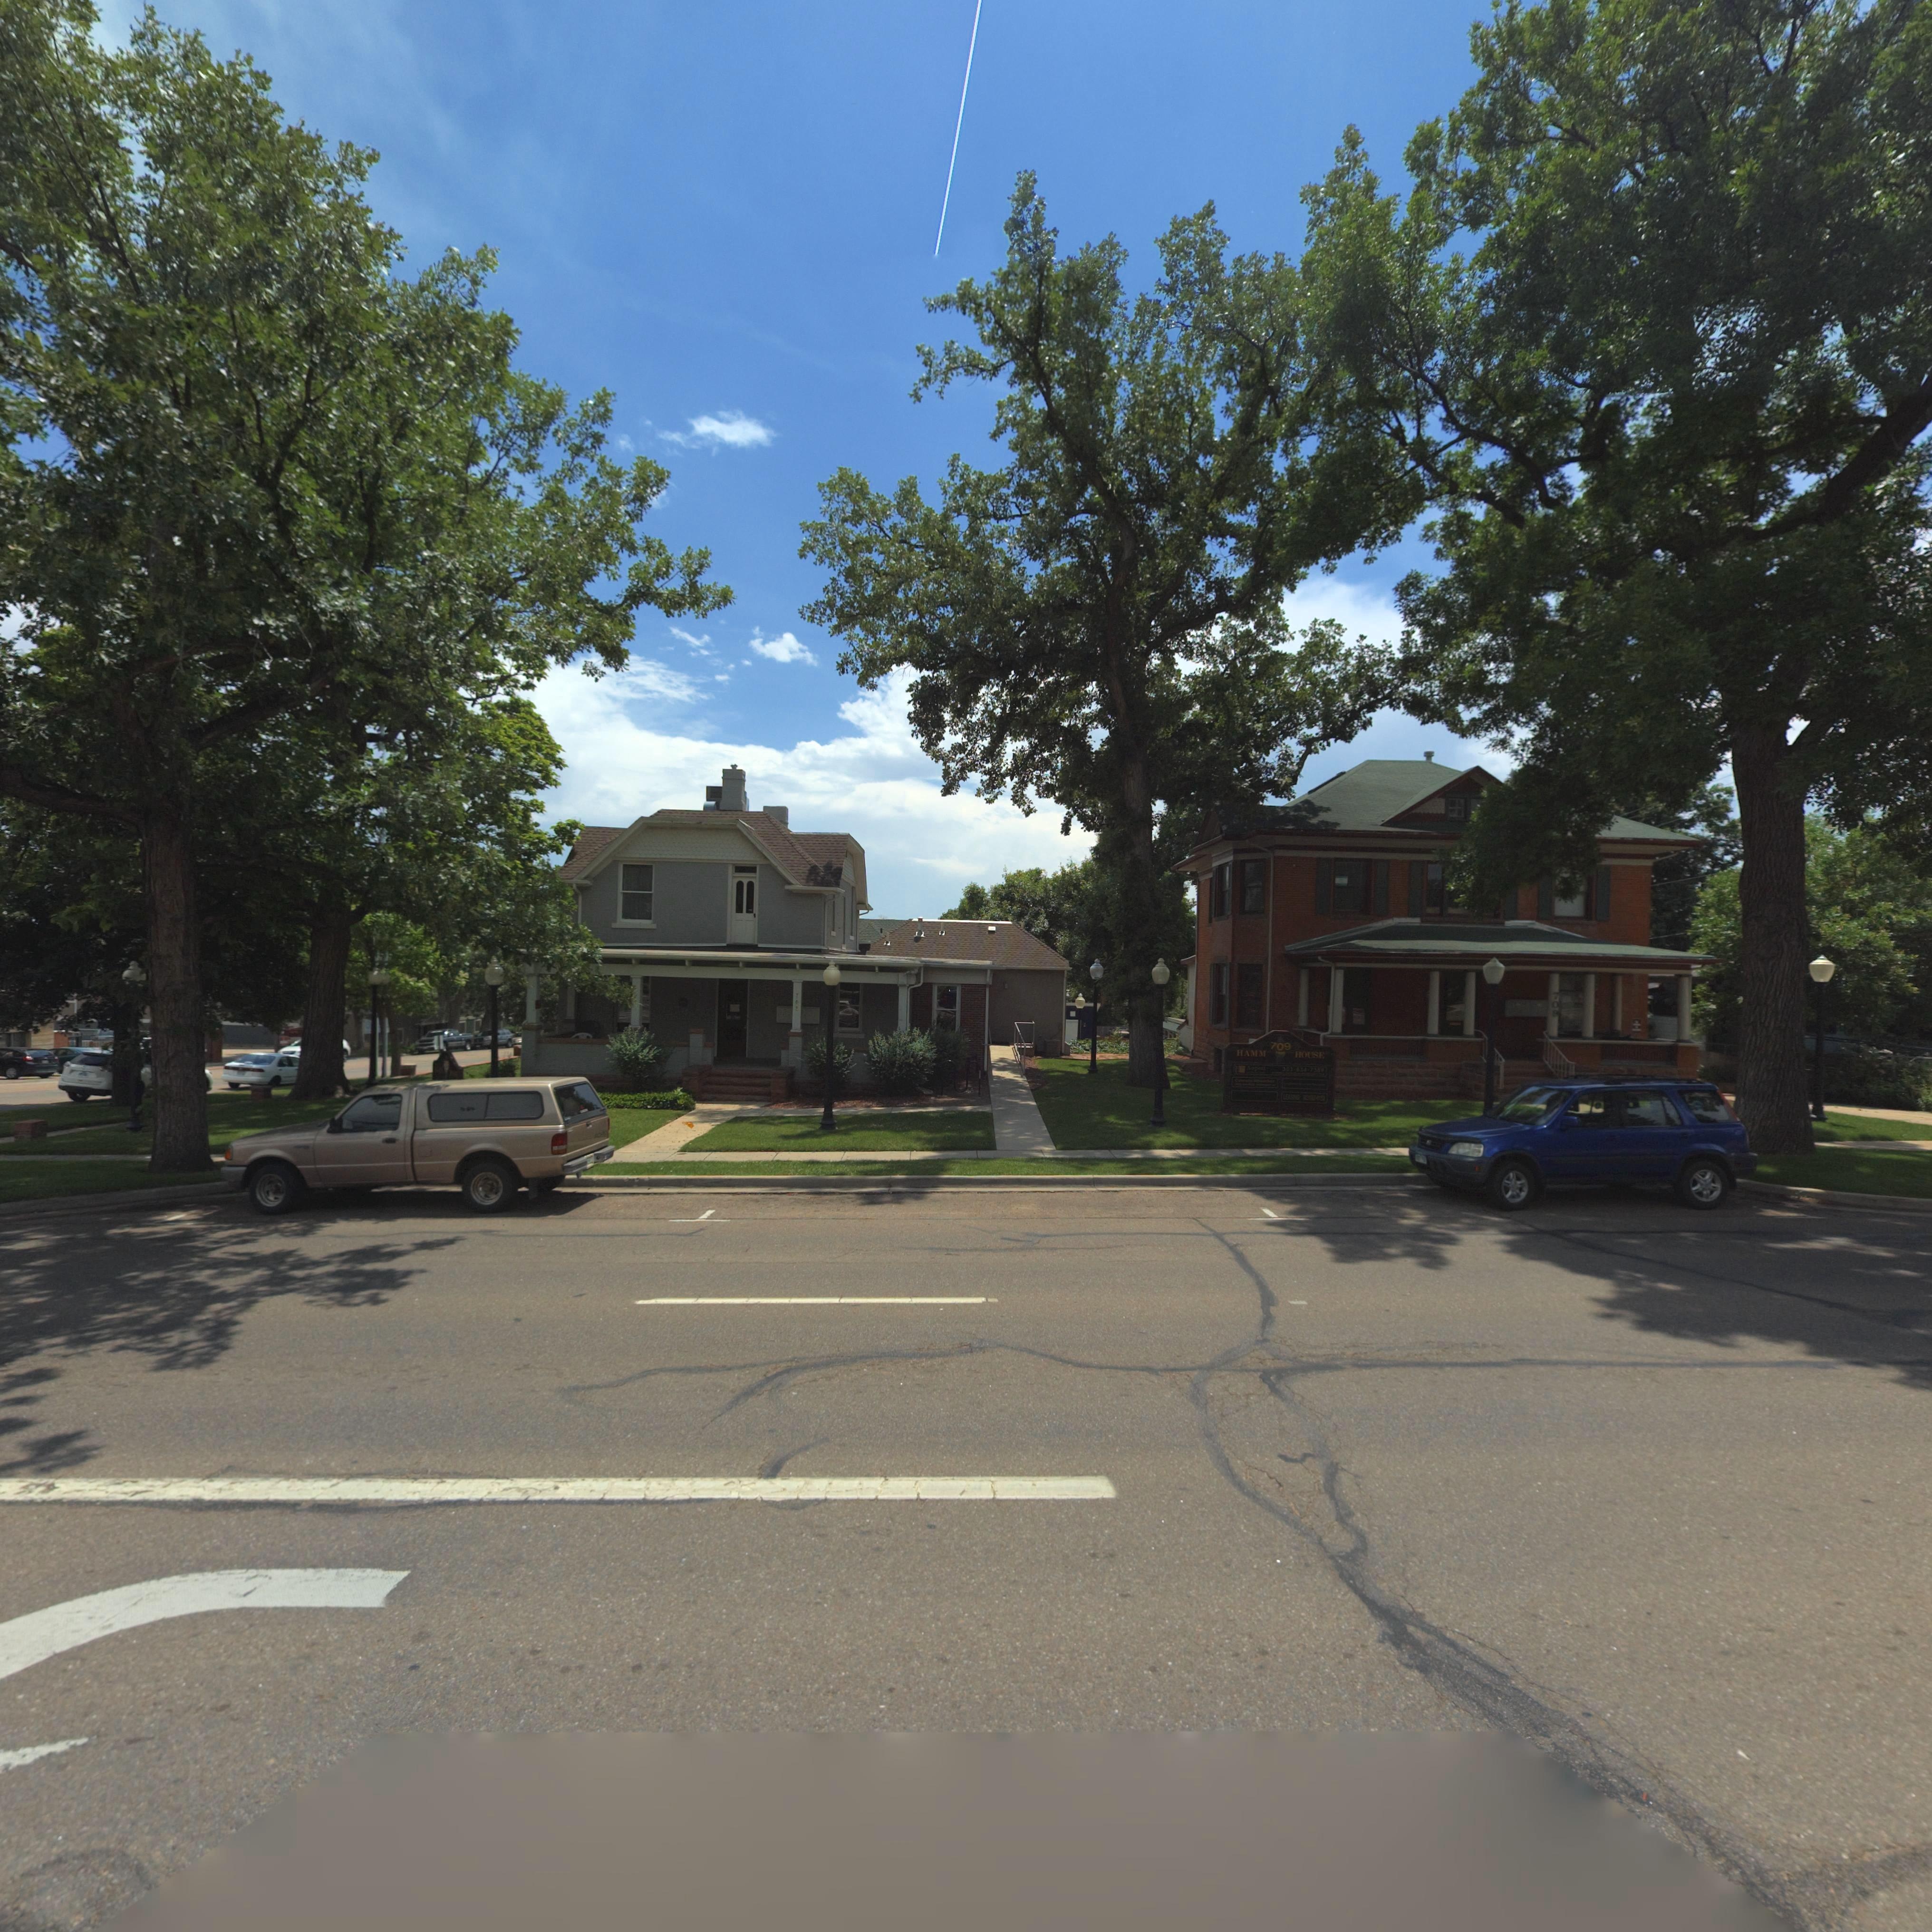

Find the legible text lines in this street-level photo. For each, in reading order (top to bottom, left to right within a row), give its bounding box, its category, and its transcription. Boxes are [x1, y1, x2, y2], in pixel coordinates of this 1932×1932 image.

[794, 993, 799, 1012] StreetNumber: 70*
[1551, 992, 1560, 1017] StreetNumber: 70*
[1270, 1041, 1291, 1051] StreetNumber: 709
[1246, 1065, 1265, 1072] BusinessName: A*p*n
[1234, 1078, 1253, 1083] BusinessName: Colorado